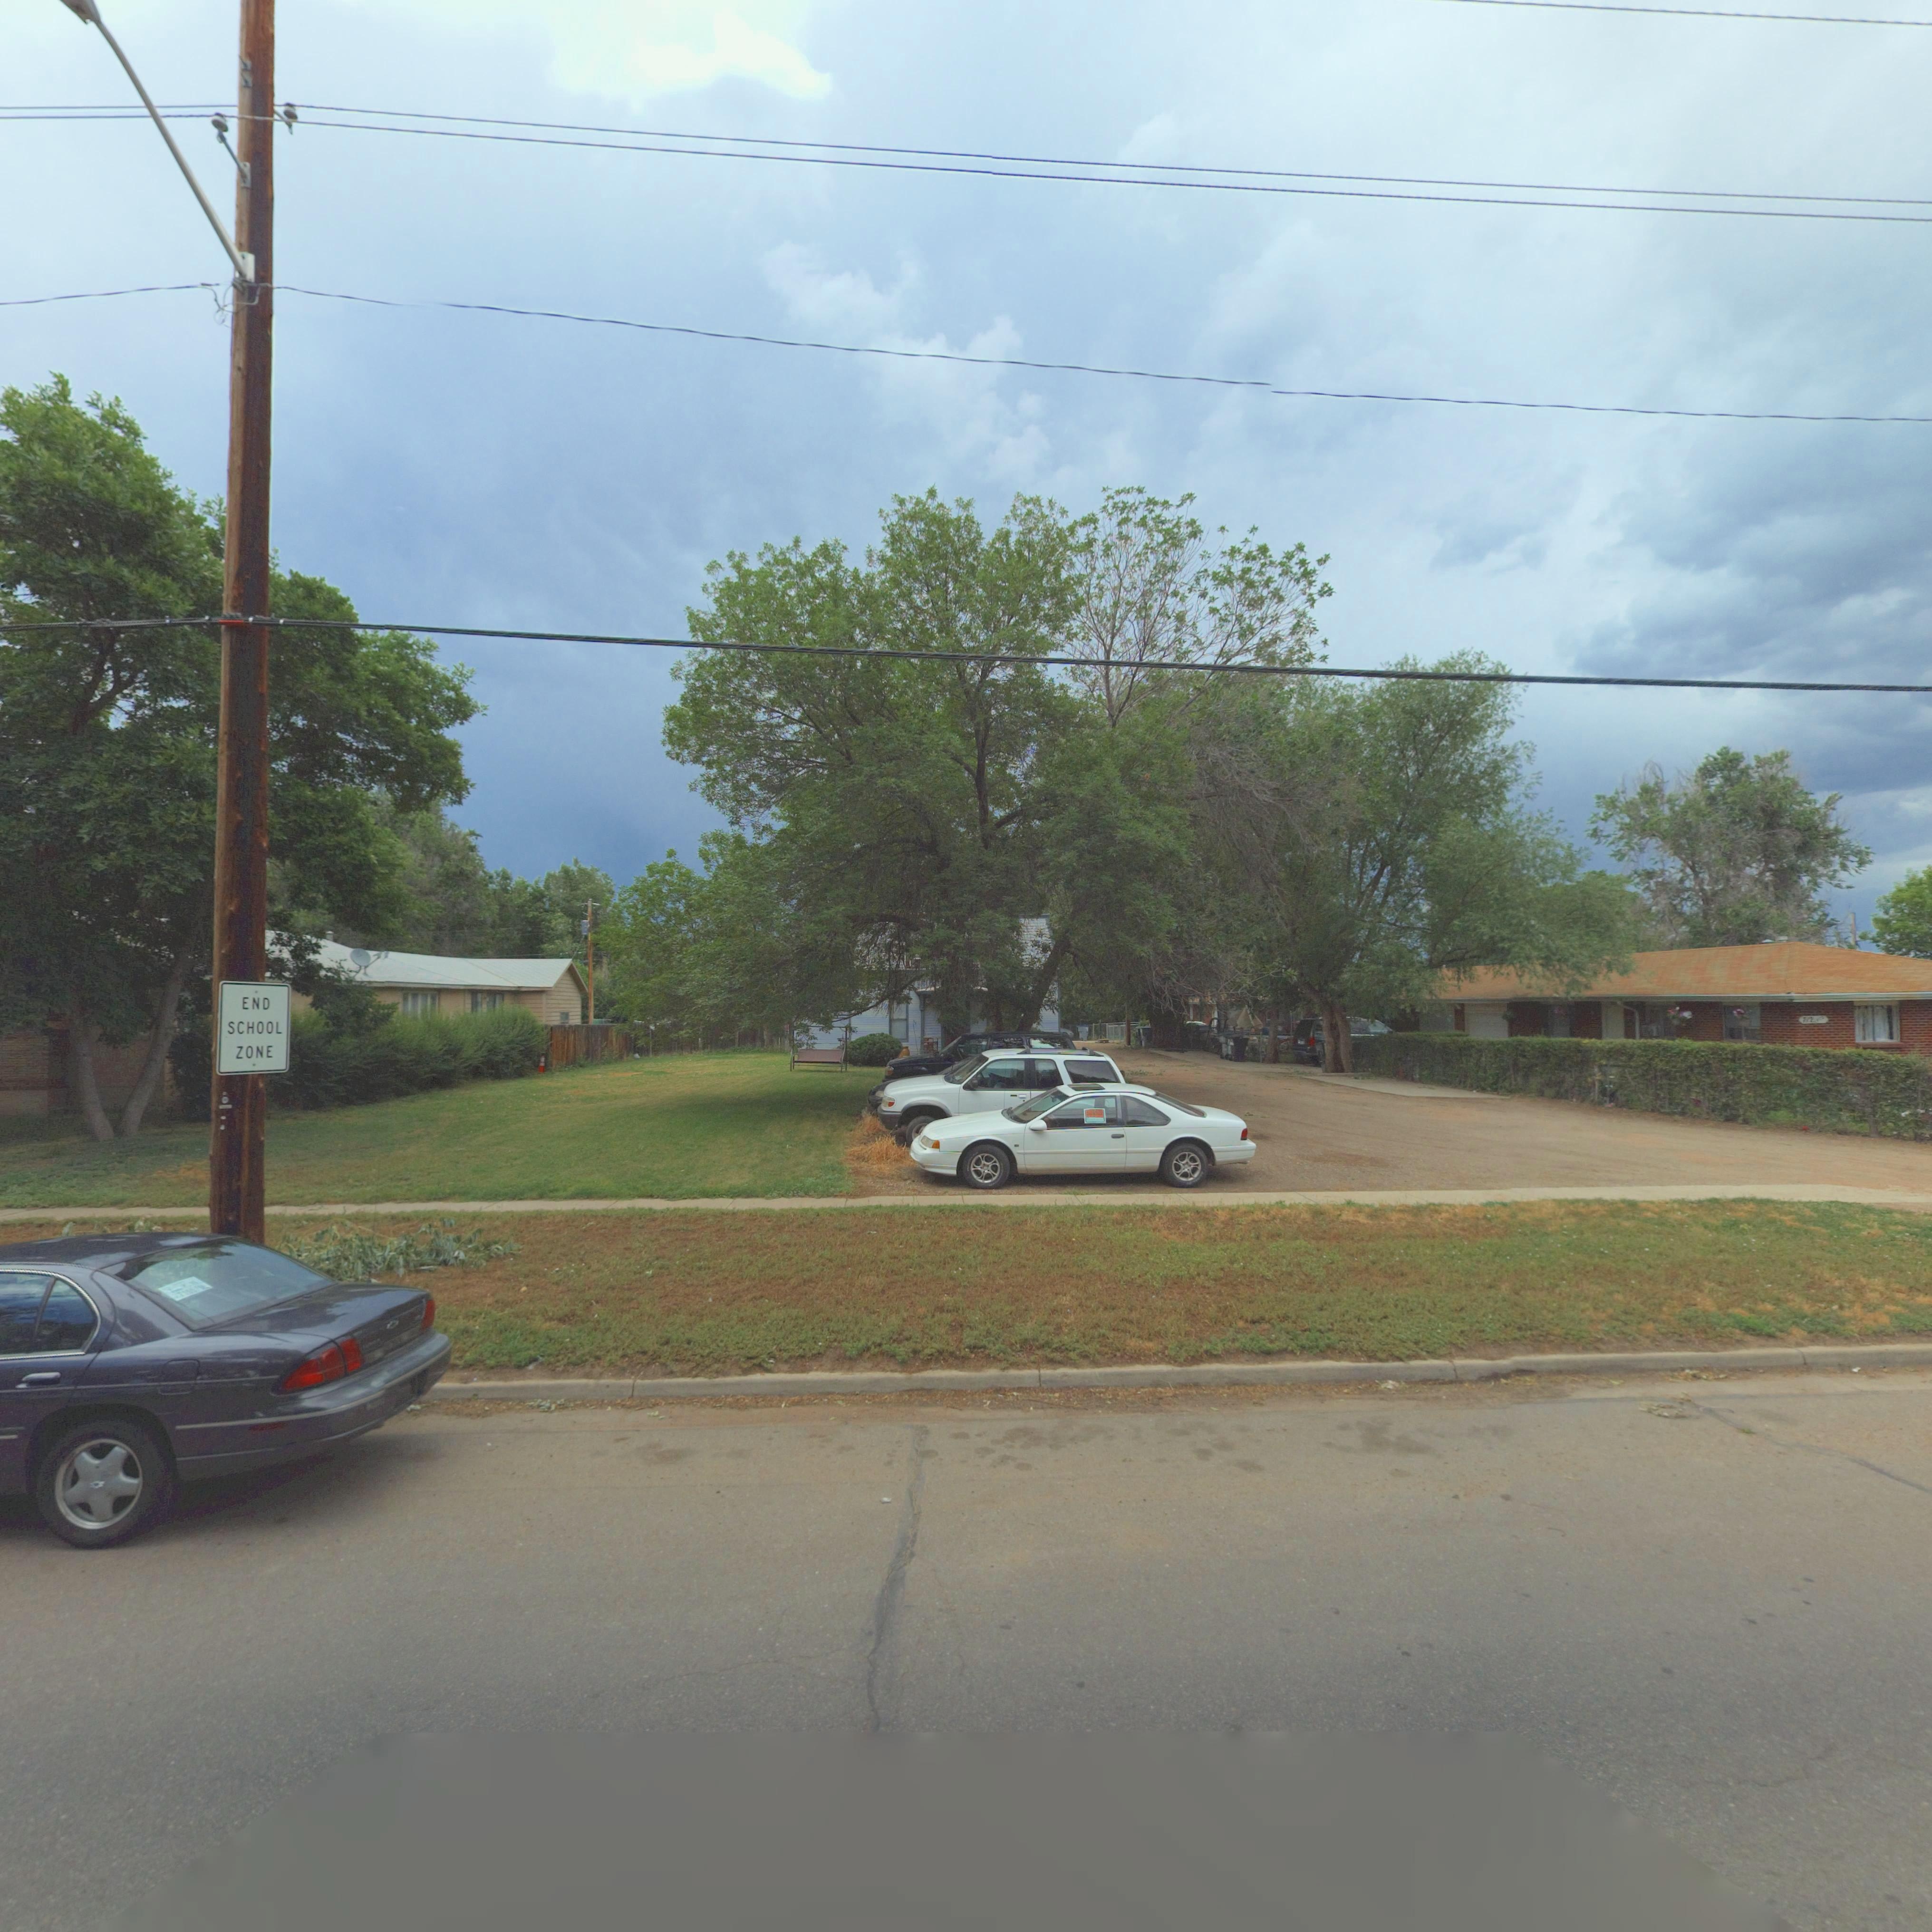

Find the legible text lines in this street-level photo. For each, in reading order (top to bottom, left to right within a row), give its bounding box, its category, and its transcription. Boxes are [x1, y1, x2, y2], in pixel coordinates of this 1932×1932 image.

[1802, 1016, 1813, 1023] StreetNumber: 7*2